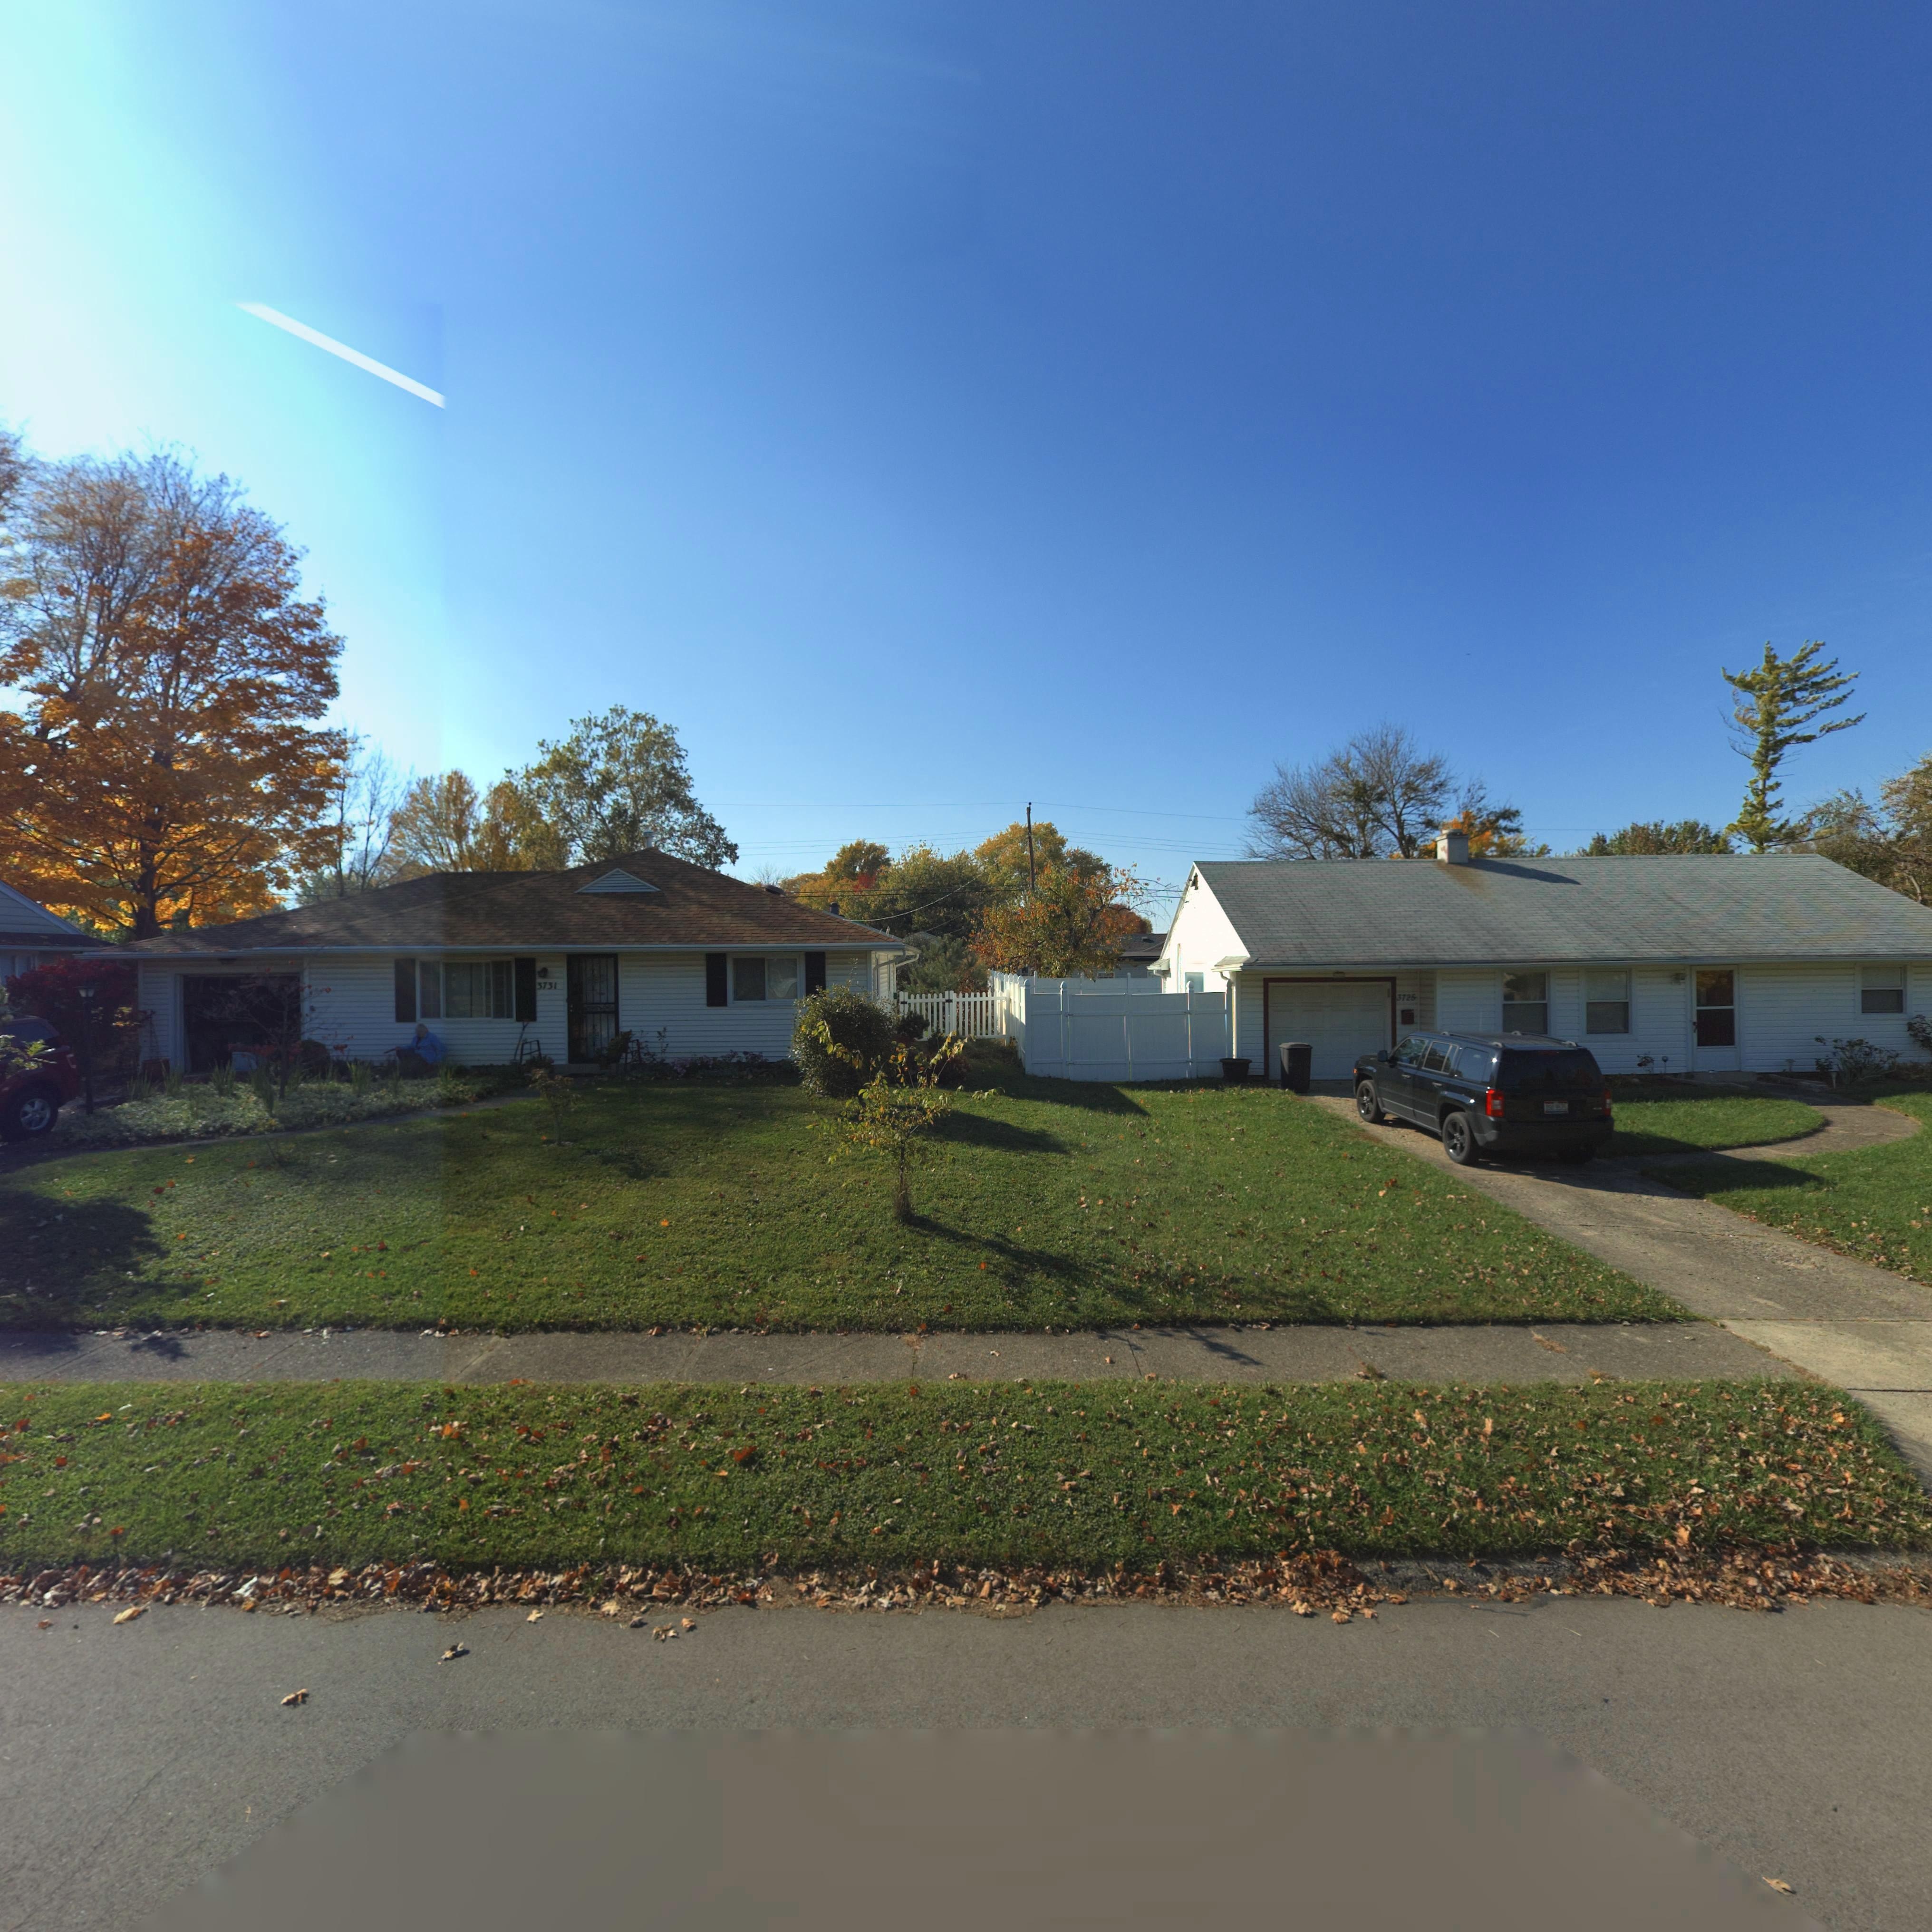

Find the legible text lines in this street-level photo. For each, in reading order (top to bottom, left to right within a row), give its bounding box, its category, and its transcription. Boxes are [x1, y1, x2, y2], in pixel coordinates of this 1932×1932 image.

[537, 981, 557, 990] StreetNumber: 3731
[1396, 994, 1415, 1001] StreetNumber: 3725
[1546, 1104, 1566, 1111] None: *S**9574